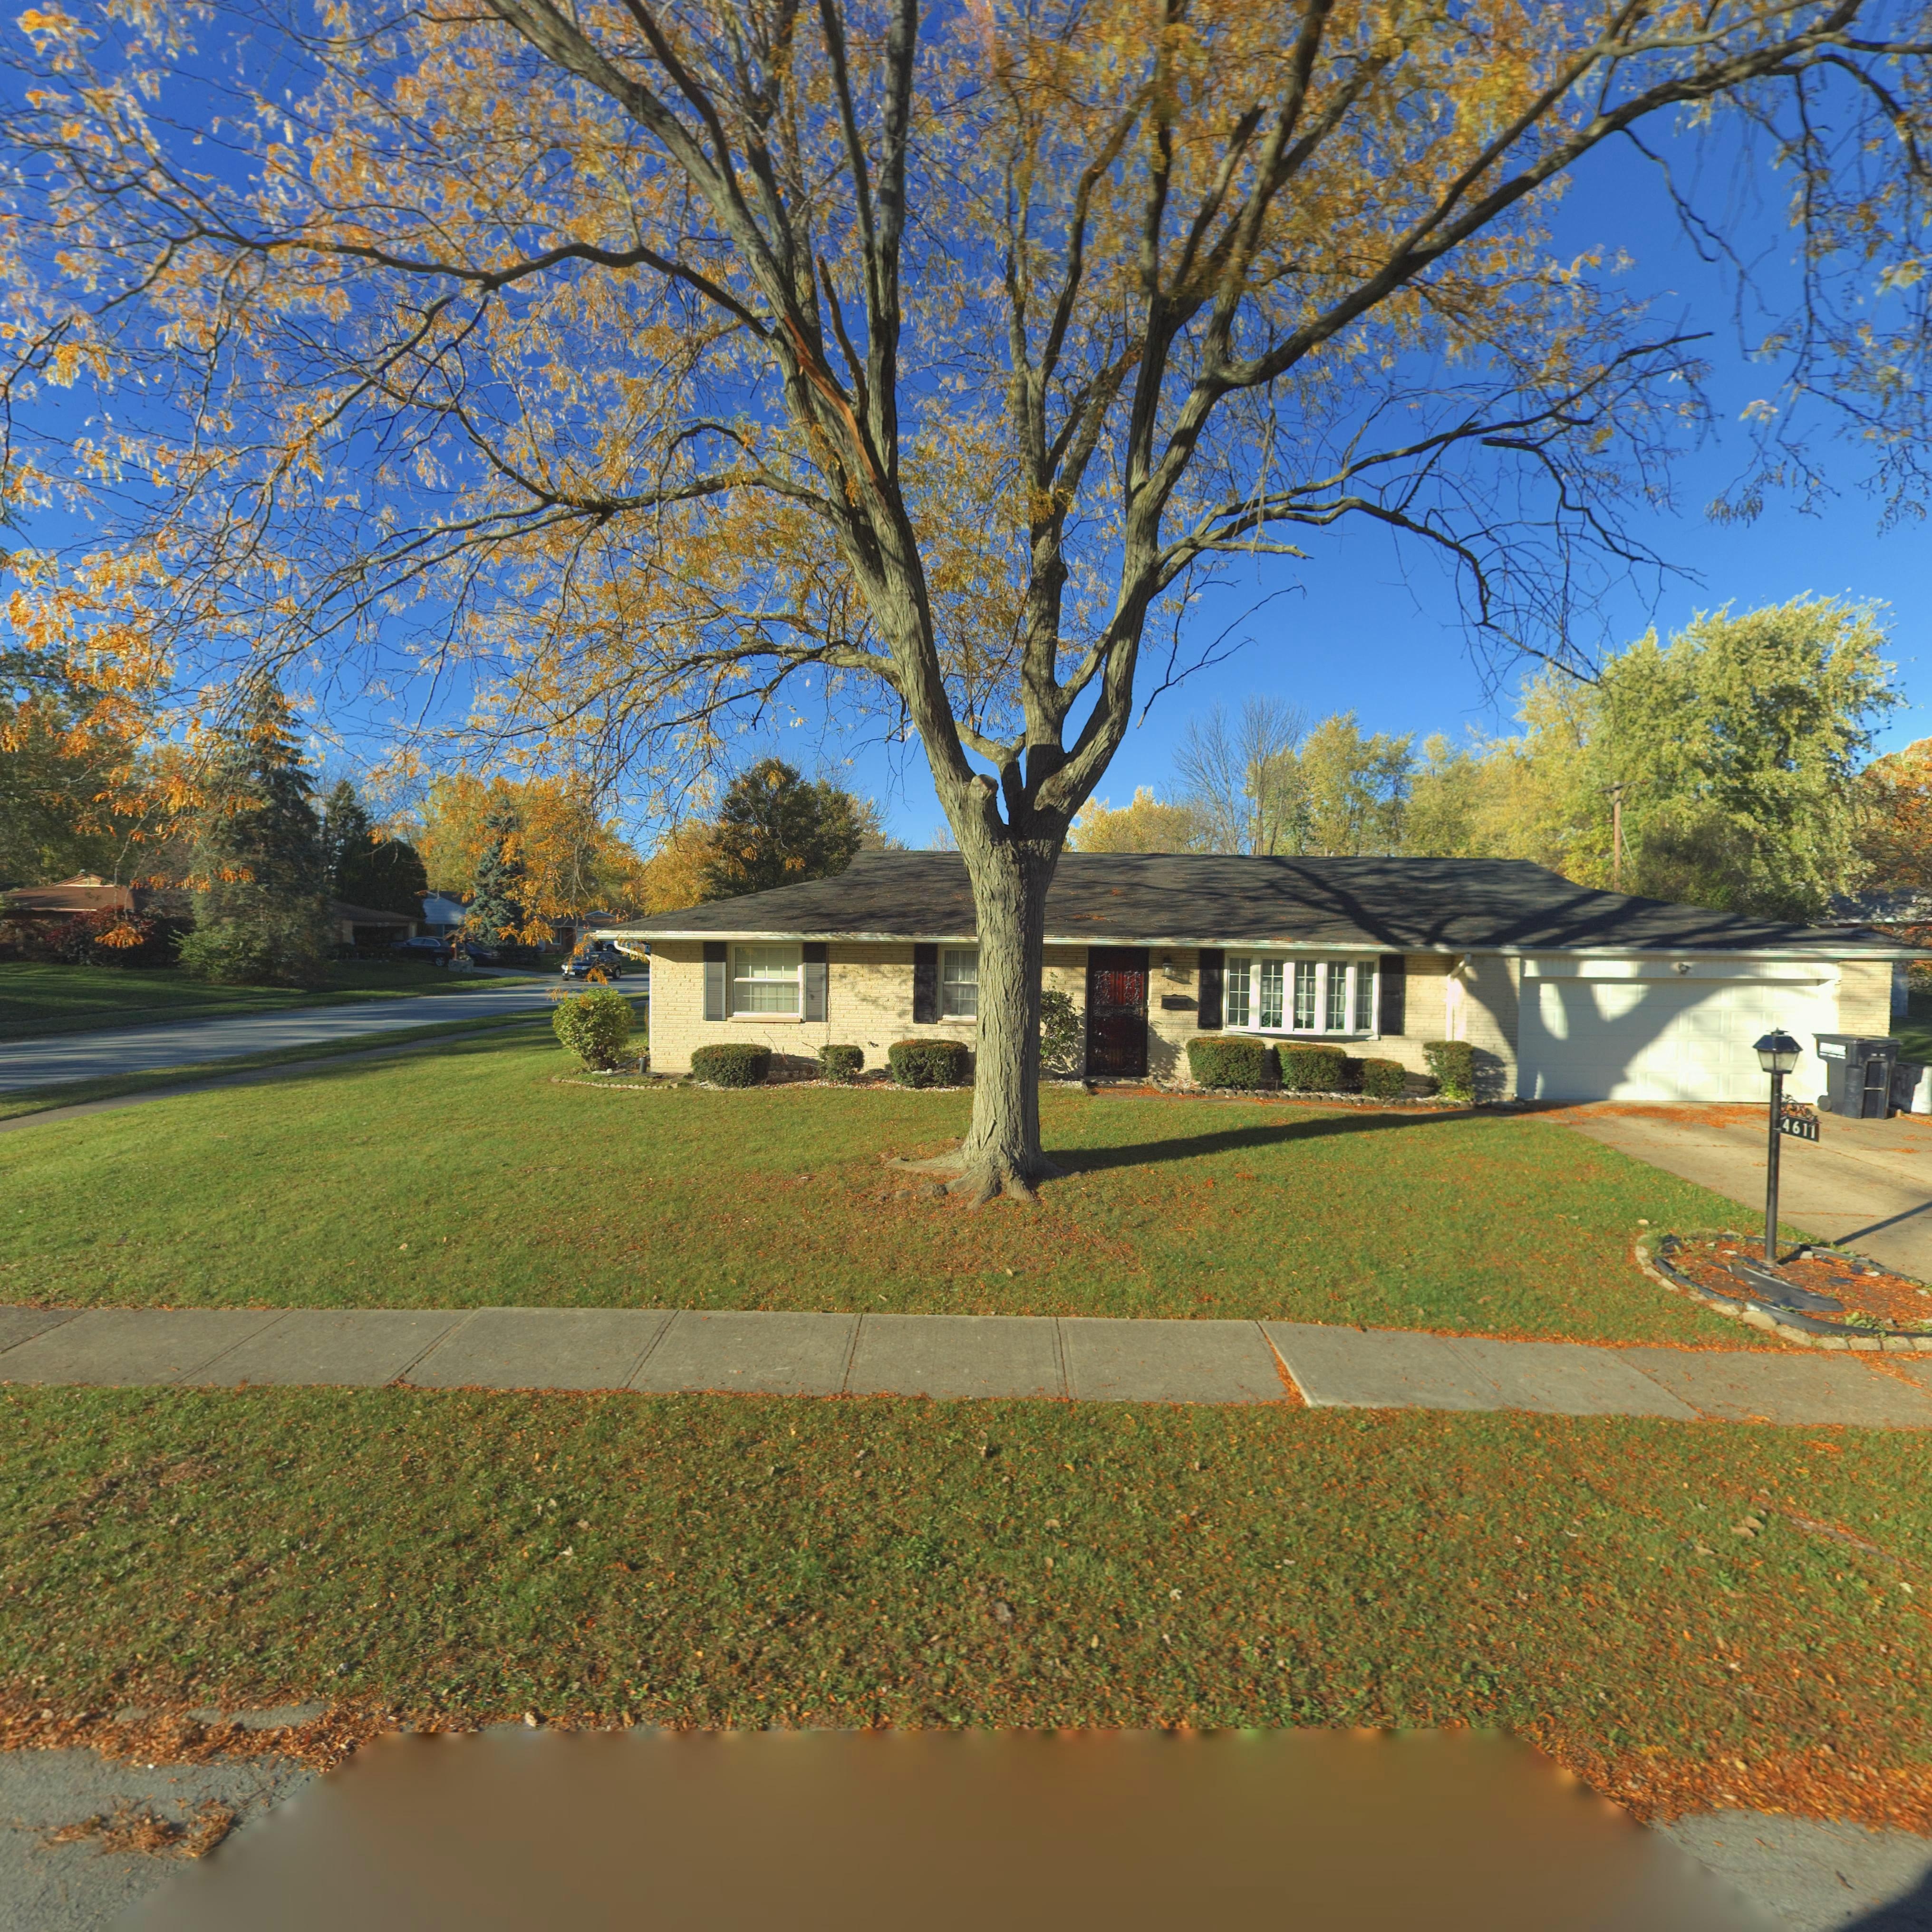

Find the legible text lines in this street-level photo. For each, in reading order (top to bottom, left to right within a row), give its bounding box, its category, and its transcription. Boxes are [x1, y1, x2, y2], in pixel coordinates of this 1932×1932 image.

[1780, 1117, 1816, 1140] StreetNumber: 4611